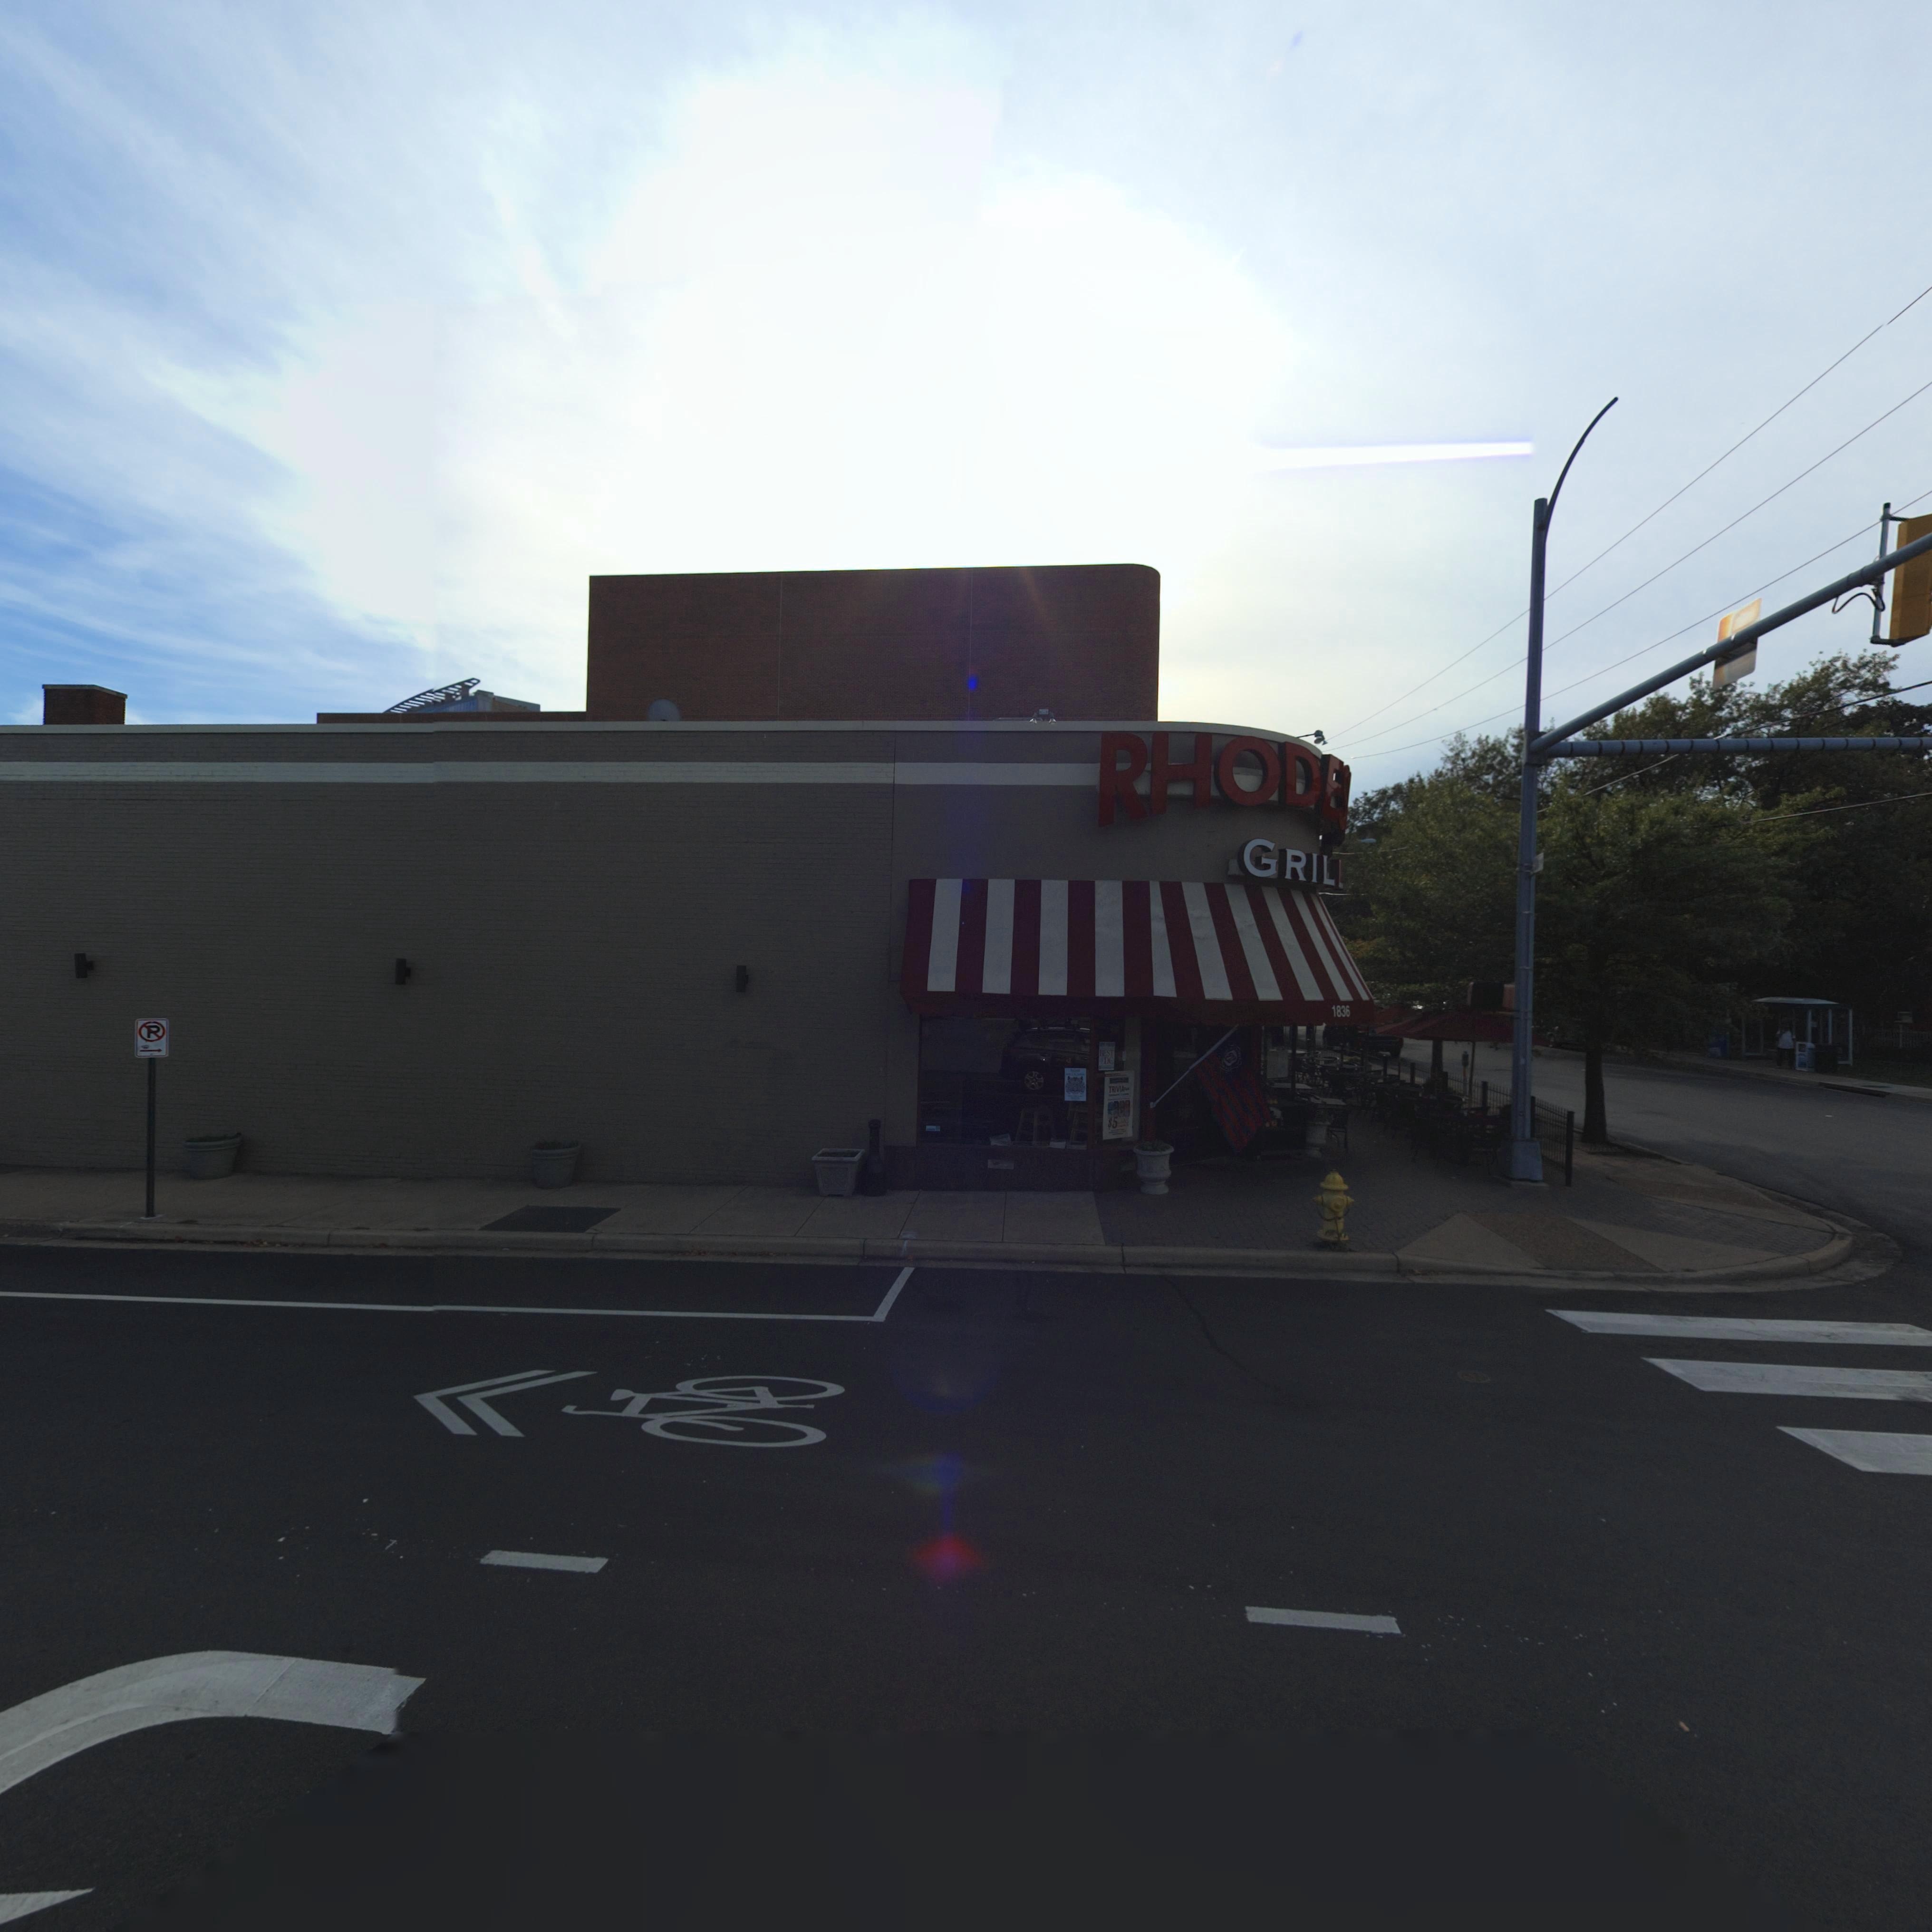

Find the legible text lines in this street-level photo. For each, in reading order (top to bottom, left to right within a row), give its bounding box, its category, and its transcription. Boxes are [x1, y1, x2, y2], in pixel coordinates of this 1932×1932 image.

[1097, 731, 1345, 829] BusinessName: RHODE
[1242, 837, 1345, 892] BusinessName: GRILL
[1331, 1004, 1351, 1018] StreetNumber: 1836
[1100, 1049, 1114, 1057] None: BEST
[1104, 1057, 1113, 1065] None: DC
[1109, 1085, 1125, 1093] None: TRIVIA
[1112, 1116, 1130, 1129] None: 5*ANS